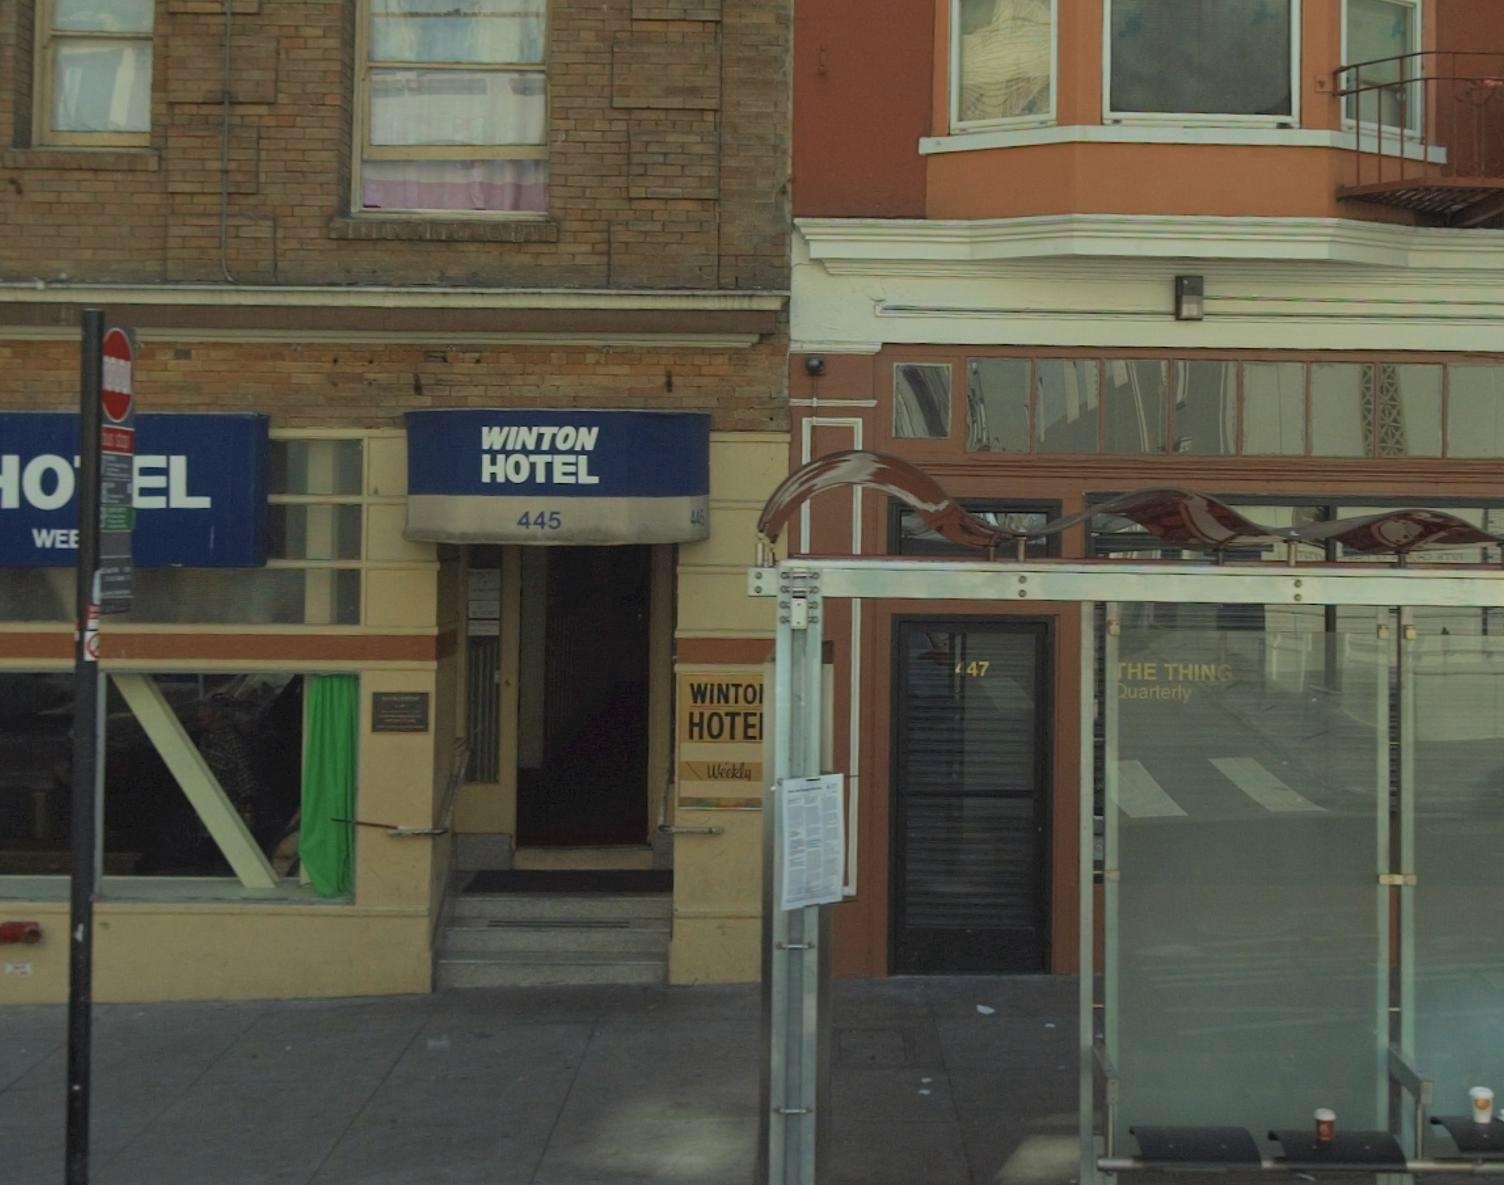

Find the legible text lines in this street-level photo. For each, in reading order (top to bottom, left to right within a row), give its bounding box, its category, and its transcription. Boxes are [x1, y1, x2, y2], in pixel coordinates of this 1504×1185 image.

[475, 419, 606, 456] BusinessName: WINTON
[16, 438, 222, 516] BusinessName: O*L
[475, 449, 609, 487] BusinessName: HOTEL
[510, 506, 565, 534] StreetNumber: 445
[685, 504, 703, 530] None: 4
[26, 523, 74, 554] None: WE
[948, 655, 995, 682] StreetNumber: 447
[1121, 658, 1237, 688] None: HE THING
[683, 674, 760, 708] BusinessName: WINTO
[1121, 680, 1197, 704] None: uarterly
[682, 707, 760, 744] BusinessName: HOTE
[702, 756, 755, 786] None: Weekly